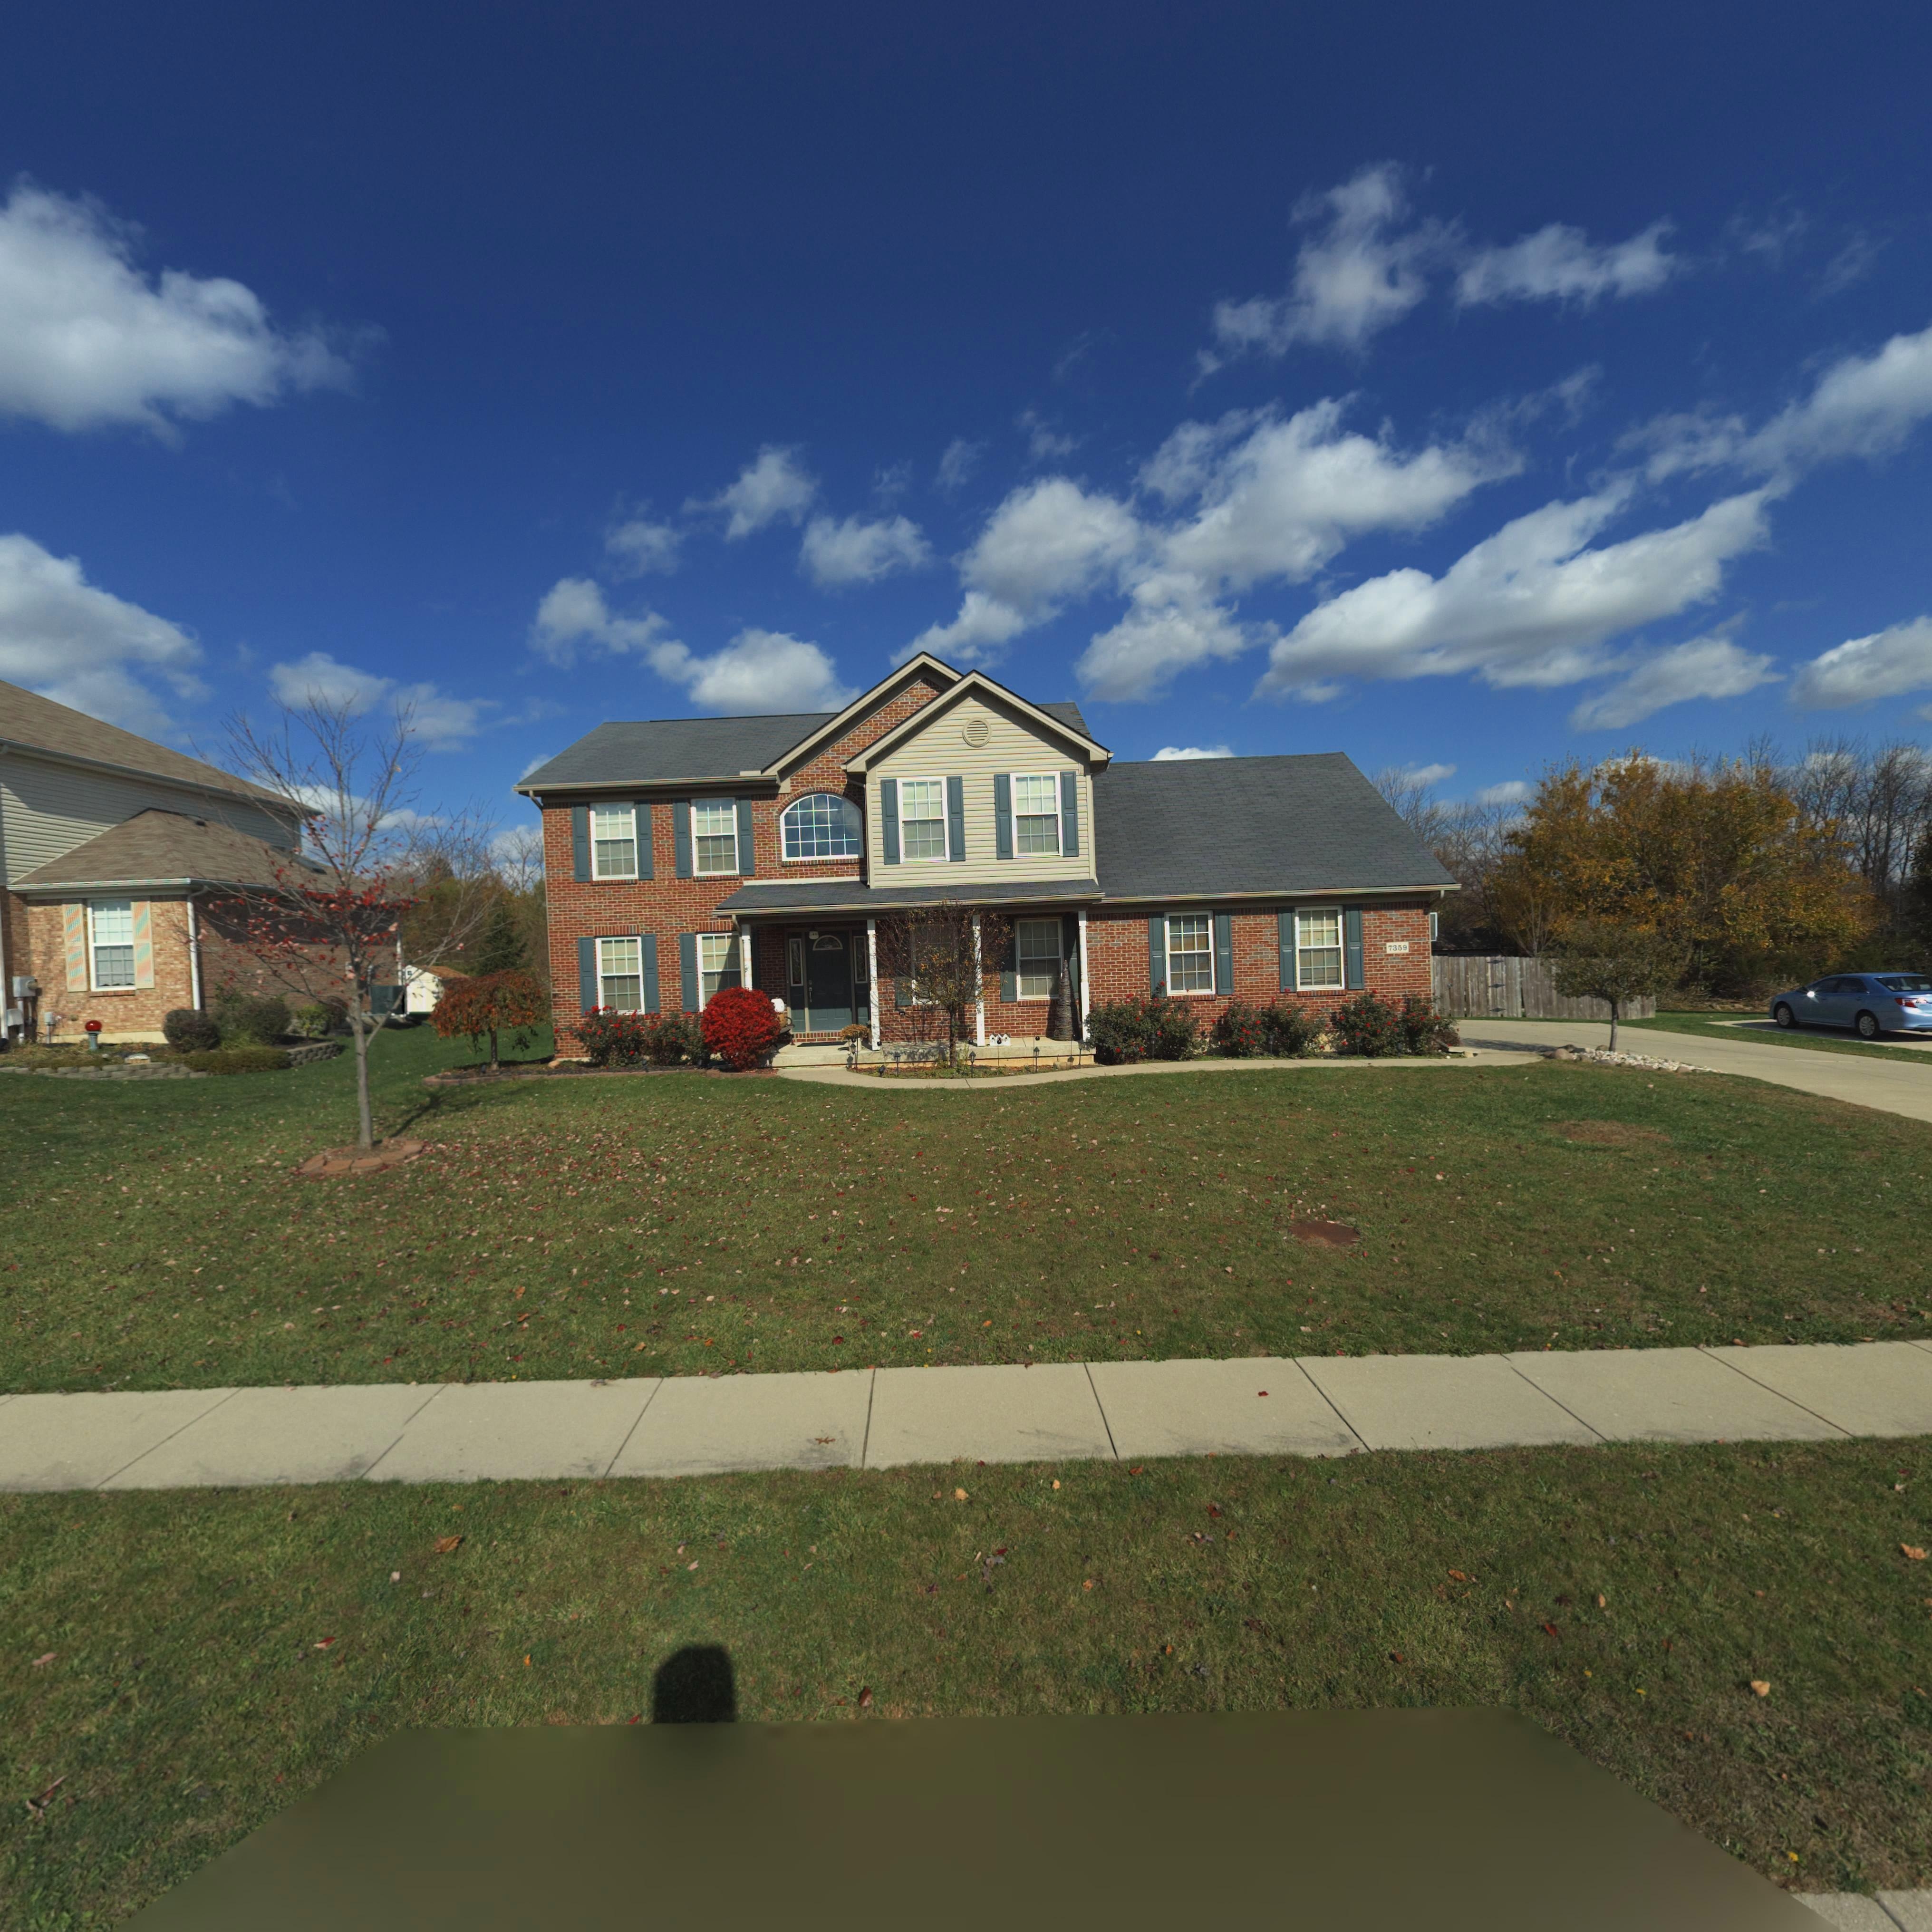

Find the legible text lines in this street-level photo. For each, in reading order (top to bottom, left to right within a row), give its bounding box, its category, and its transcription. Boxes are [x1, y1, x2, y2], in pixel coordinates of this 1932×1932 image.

[1388, 944, 1408, 952] StreetNumber: 7359